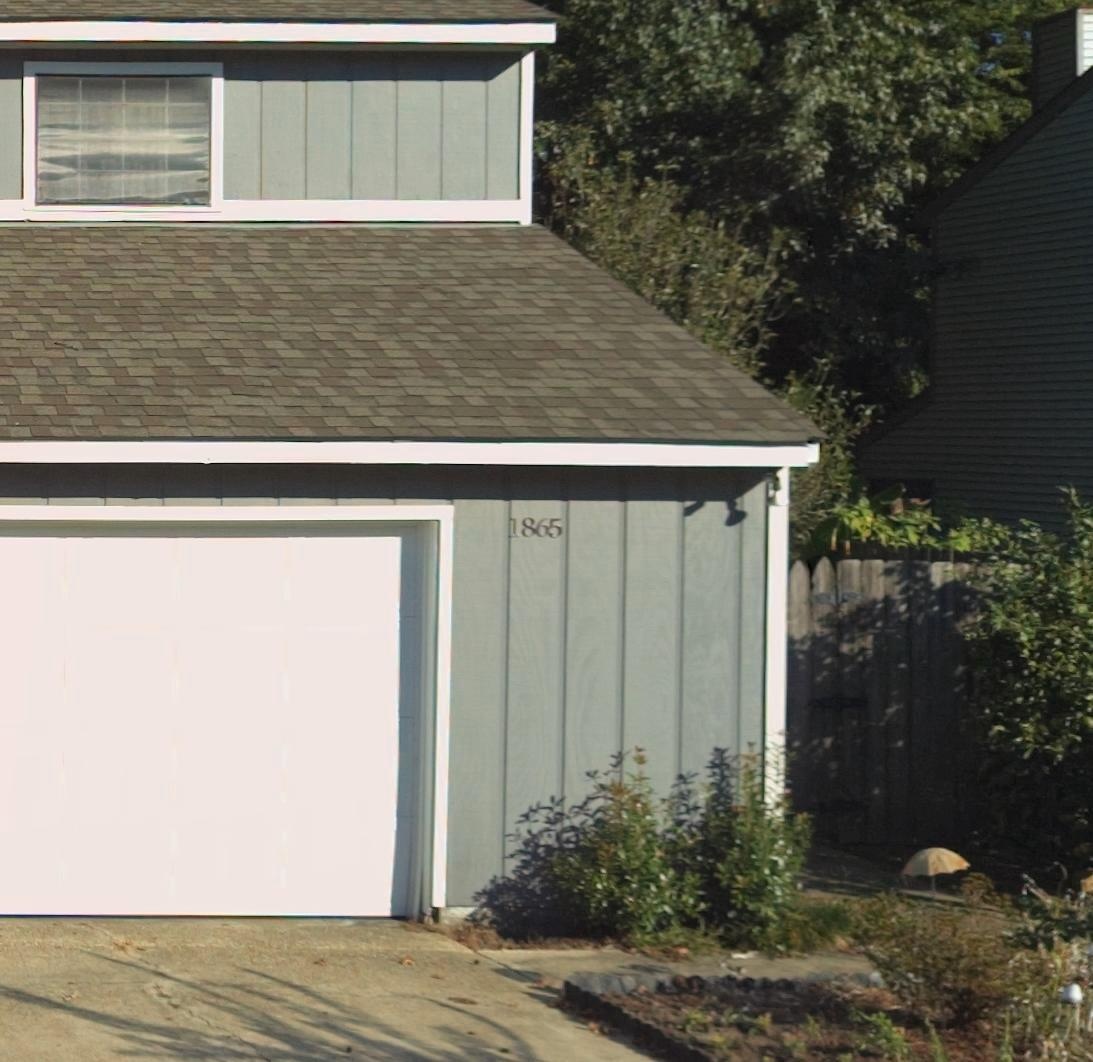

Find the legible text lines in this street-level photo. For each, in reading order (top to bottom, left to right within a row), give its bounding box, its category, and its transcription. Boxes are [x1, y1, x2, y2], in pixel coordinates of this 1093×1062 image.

[507, 515, 565, 540] StreetNumber: 1865